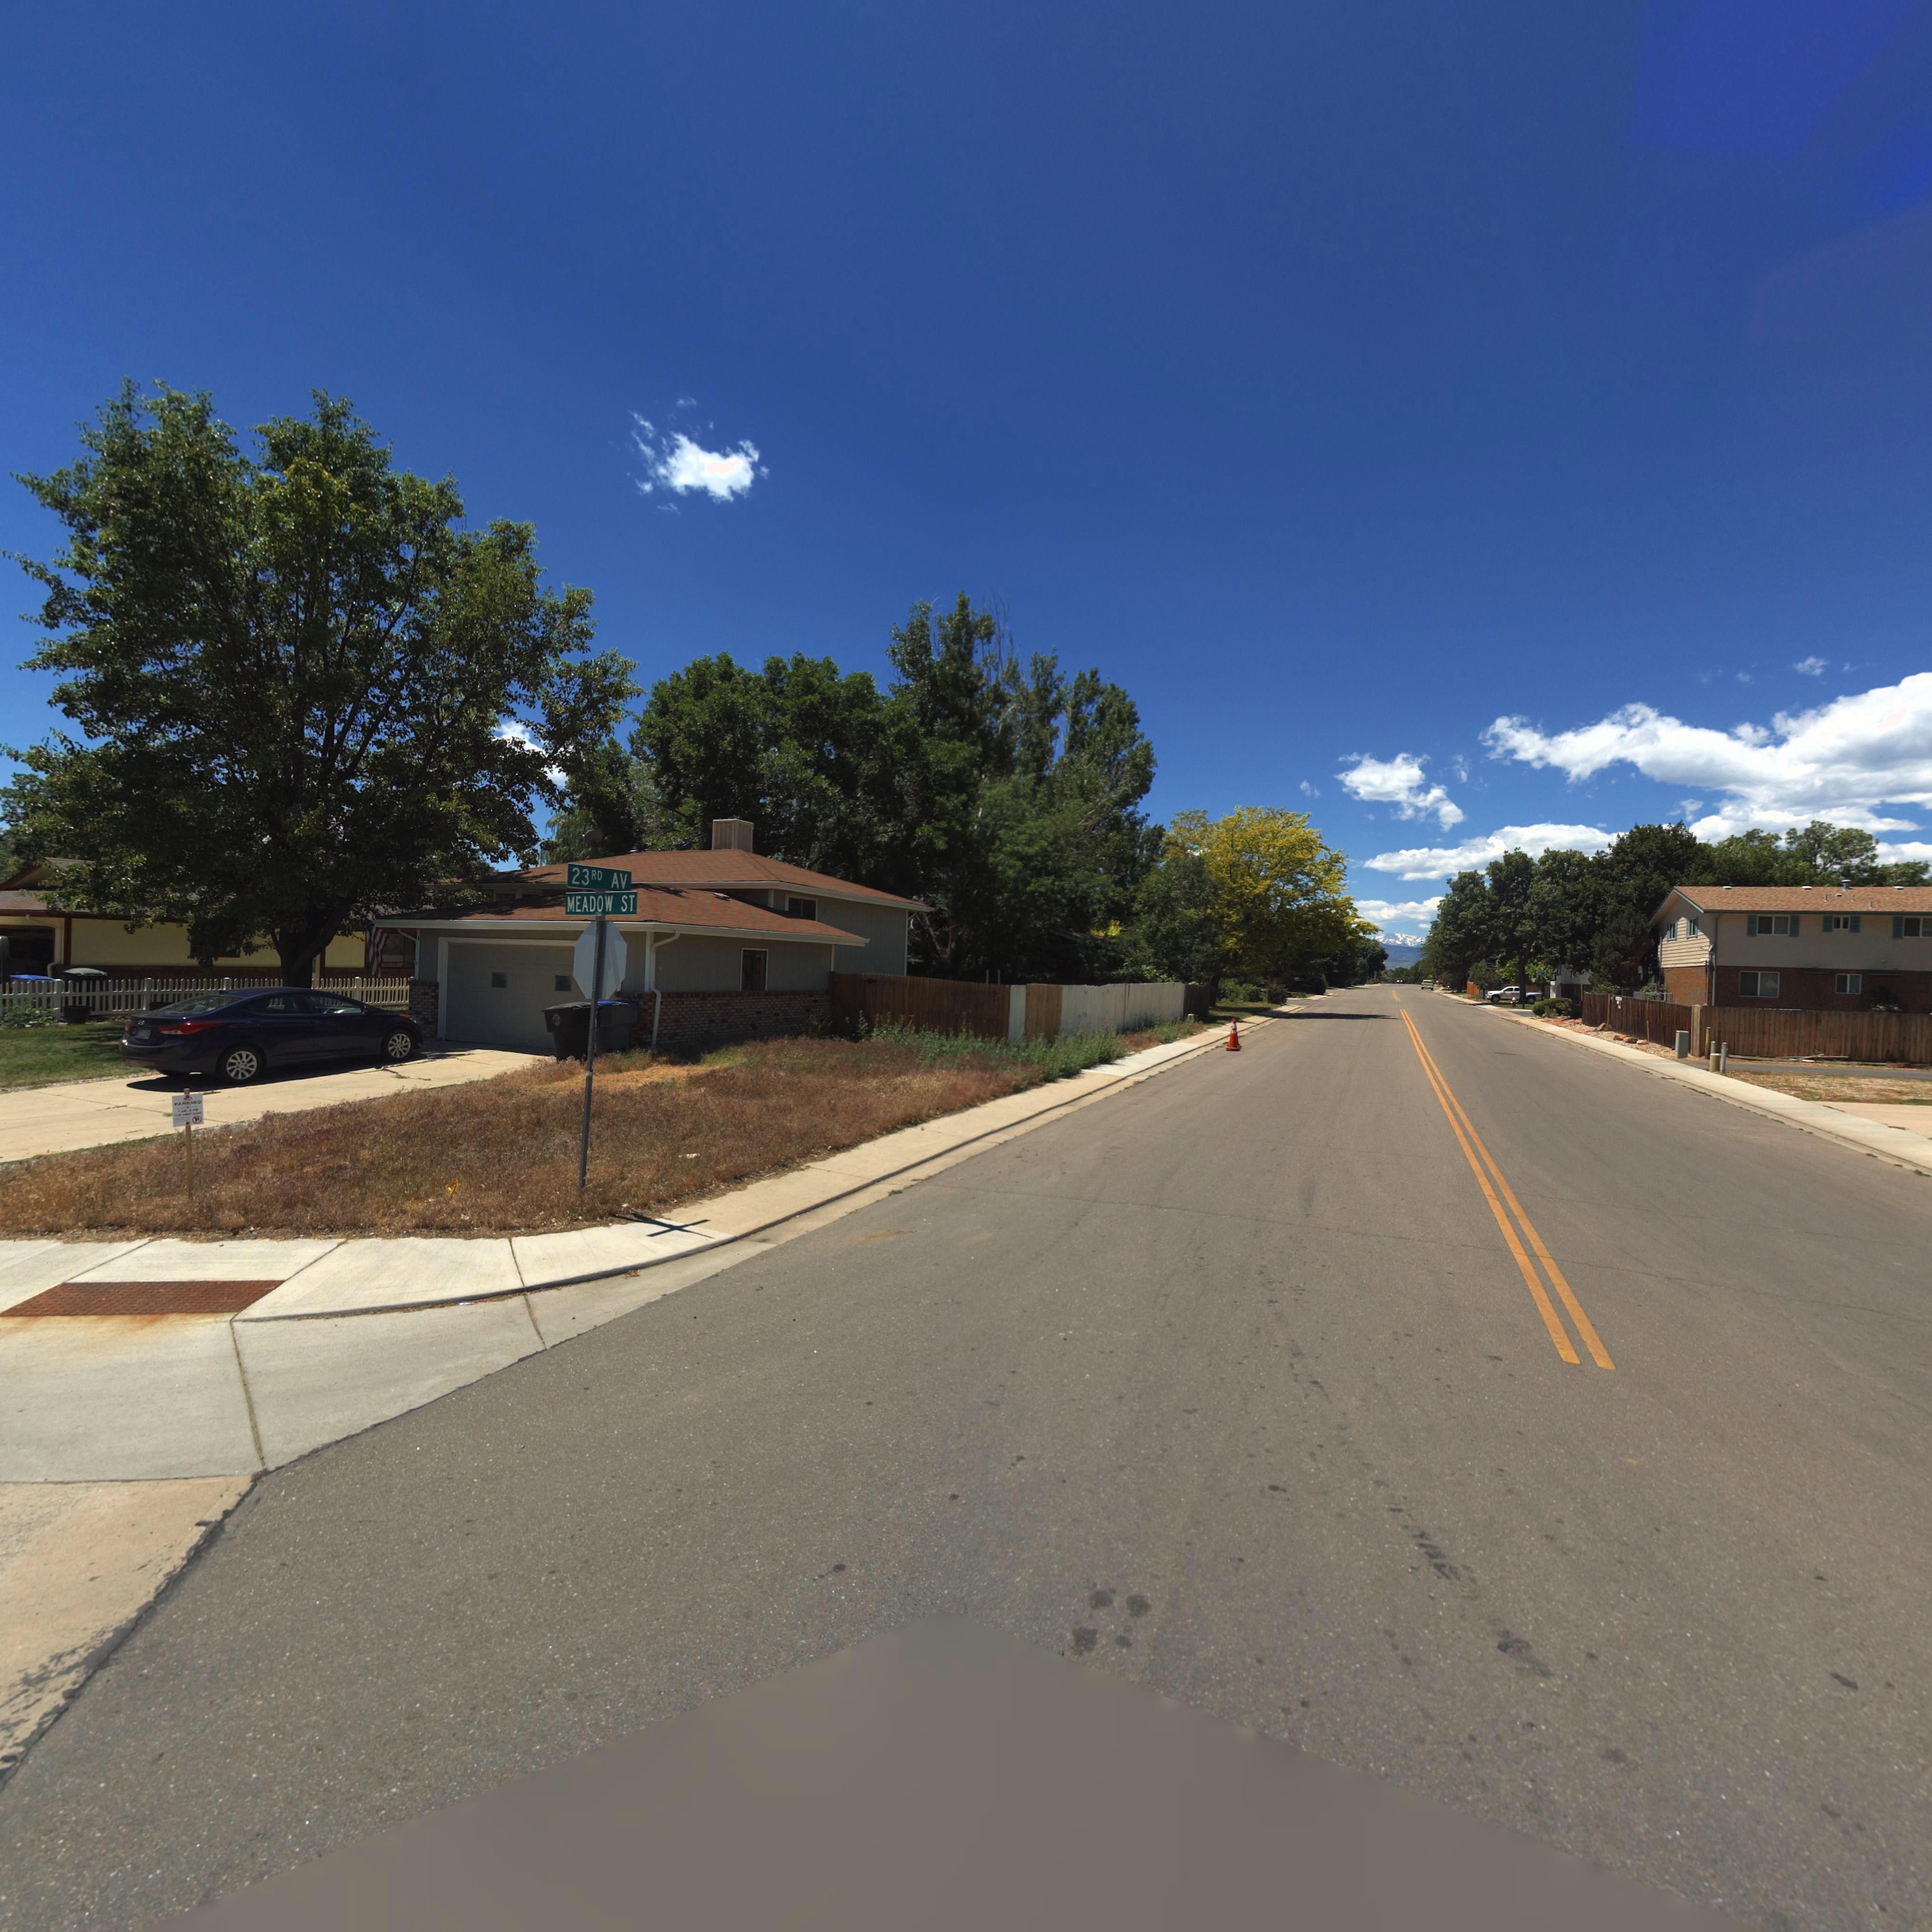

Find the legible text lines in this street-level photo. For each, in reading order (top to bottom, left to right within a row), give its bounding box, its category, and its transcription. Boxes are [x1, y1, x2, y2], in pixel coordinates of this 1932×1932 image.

[567, 894, 635, 912] StreetName: MEADOW ST